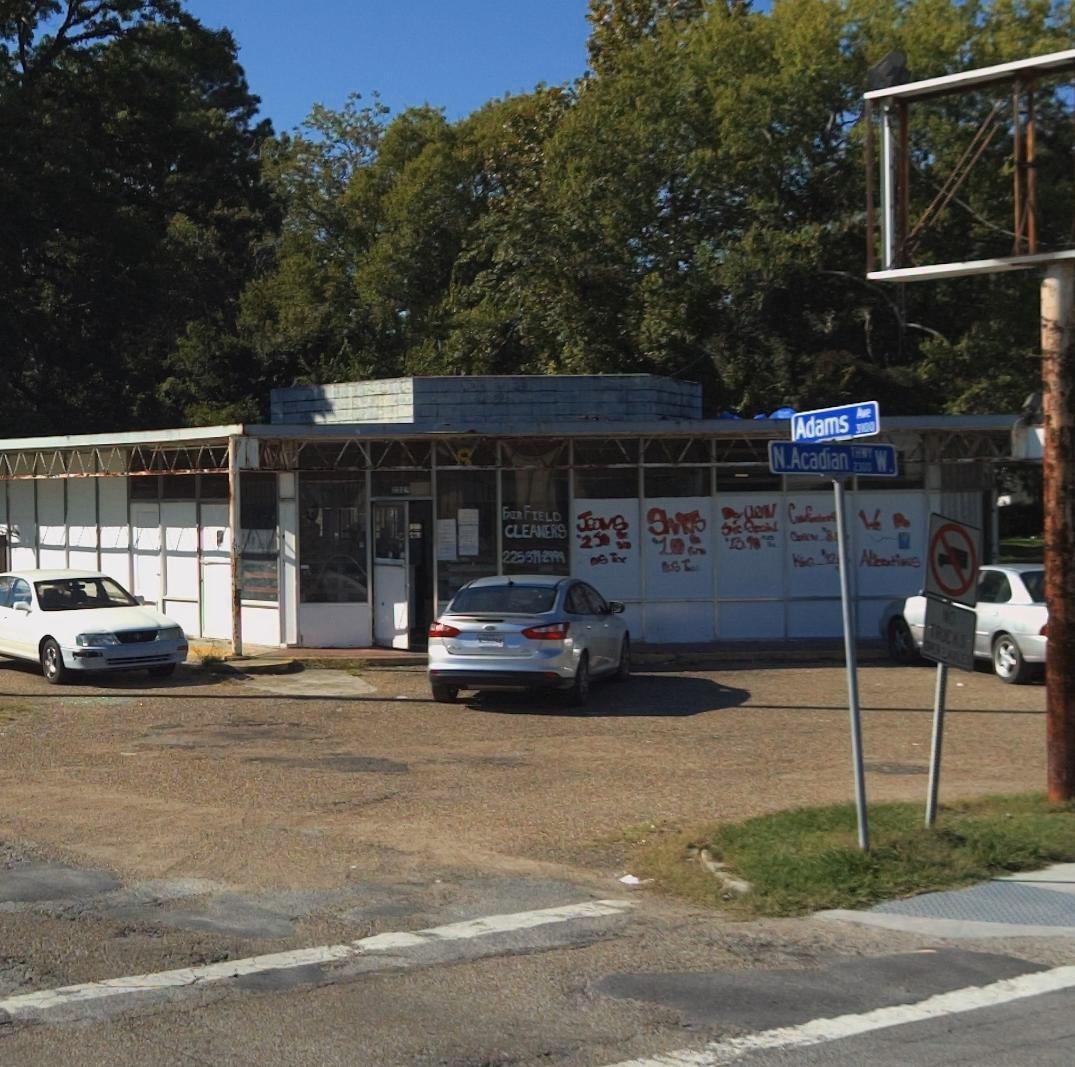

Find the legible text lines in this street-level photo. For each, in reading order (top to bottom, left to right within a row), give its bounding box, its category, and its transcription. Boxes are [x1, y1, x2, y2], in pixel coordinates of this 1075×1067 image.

[793, 403, 873, 442] StreetName: AdamsAve
[853, 417, 878, 436] StreetNumber: 3***
[771, 443, 895, 474] StreetName: N.Acadian t**y W.
[850, 459, 874, 475] None: 2300
[500, 503, 564, 523] BusinessName: FAIRFIELD
[500, 548, 567, 567] None: 225-379-2999
[502, 521, 569, 541] BusinessName: CLEANERS
[578, 530, 614, 550] None: 2.50
[575, 508, 633, 532] None: Jeans
[658, 535, 688, 557] None: 10
[643, 507, 710, 536] None: ShiRTS
[856, 506, 914, 533] None: We Do
[940, 604, 958, 629] None: NO
[927, 619, 968, 653] None: TRUCKS